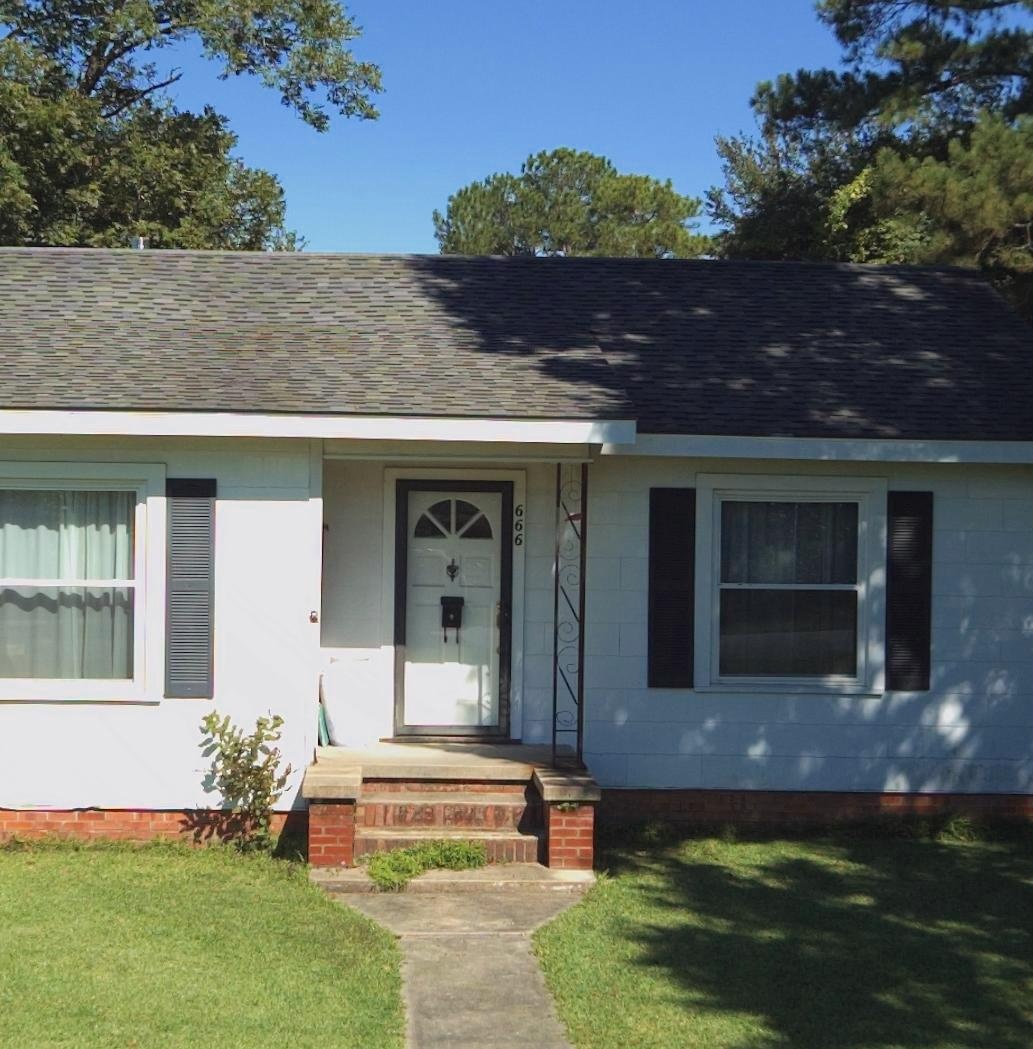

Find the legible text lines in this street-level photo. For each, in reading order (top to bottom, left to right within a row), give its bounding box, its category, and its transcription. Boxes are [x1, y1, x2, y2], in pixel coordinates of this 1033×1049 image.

[514, 503, 524, 547] StreetNumber: 666